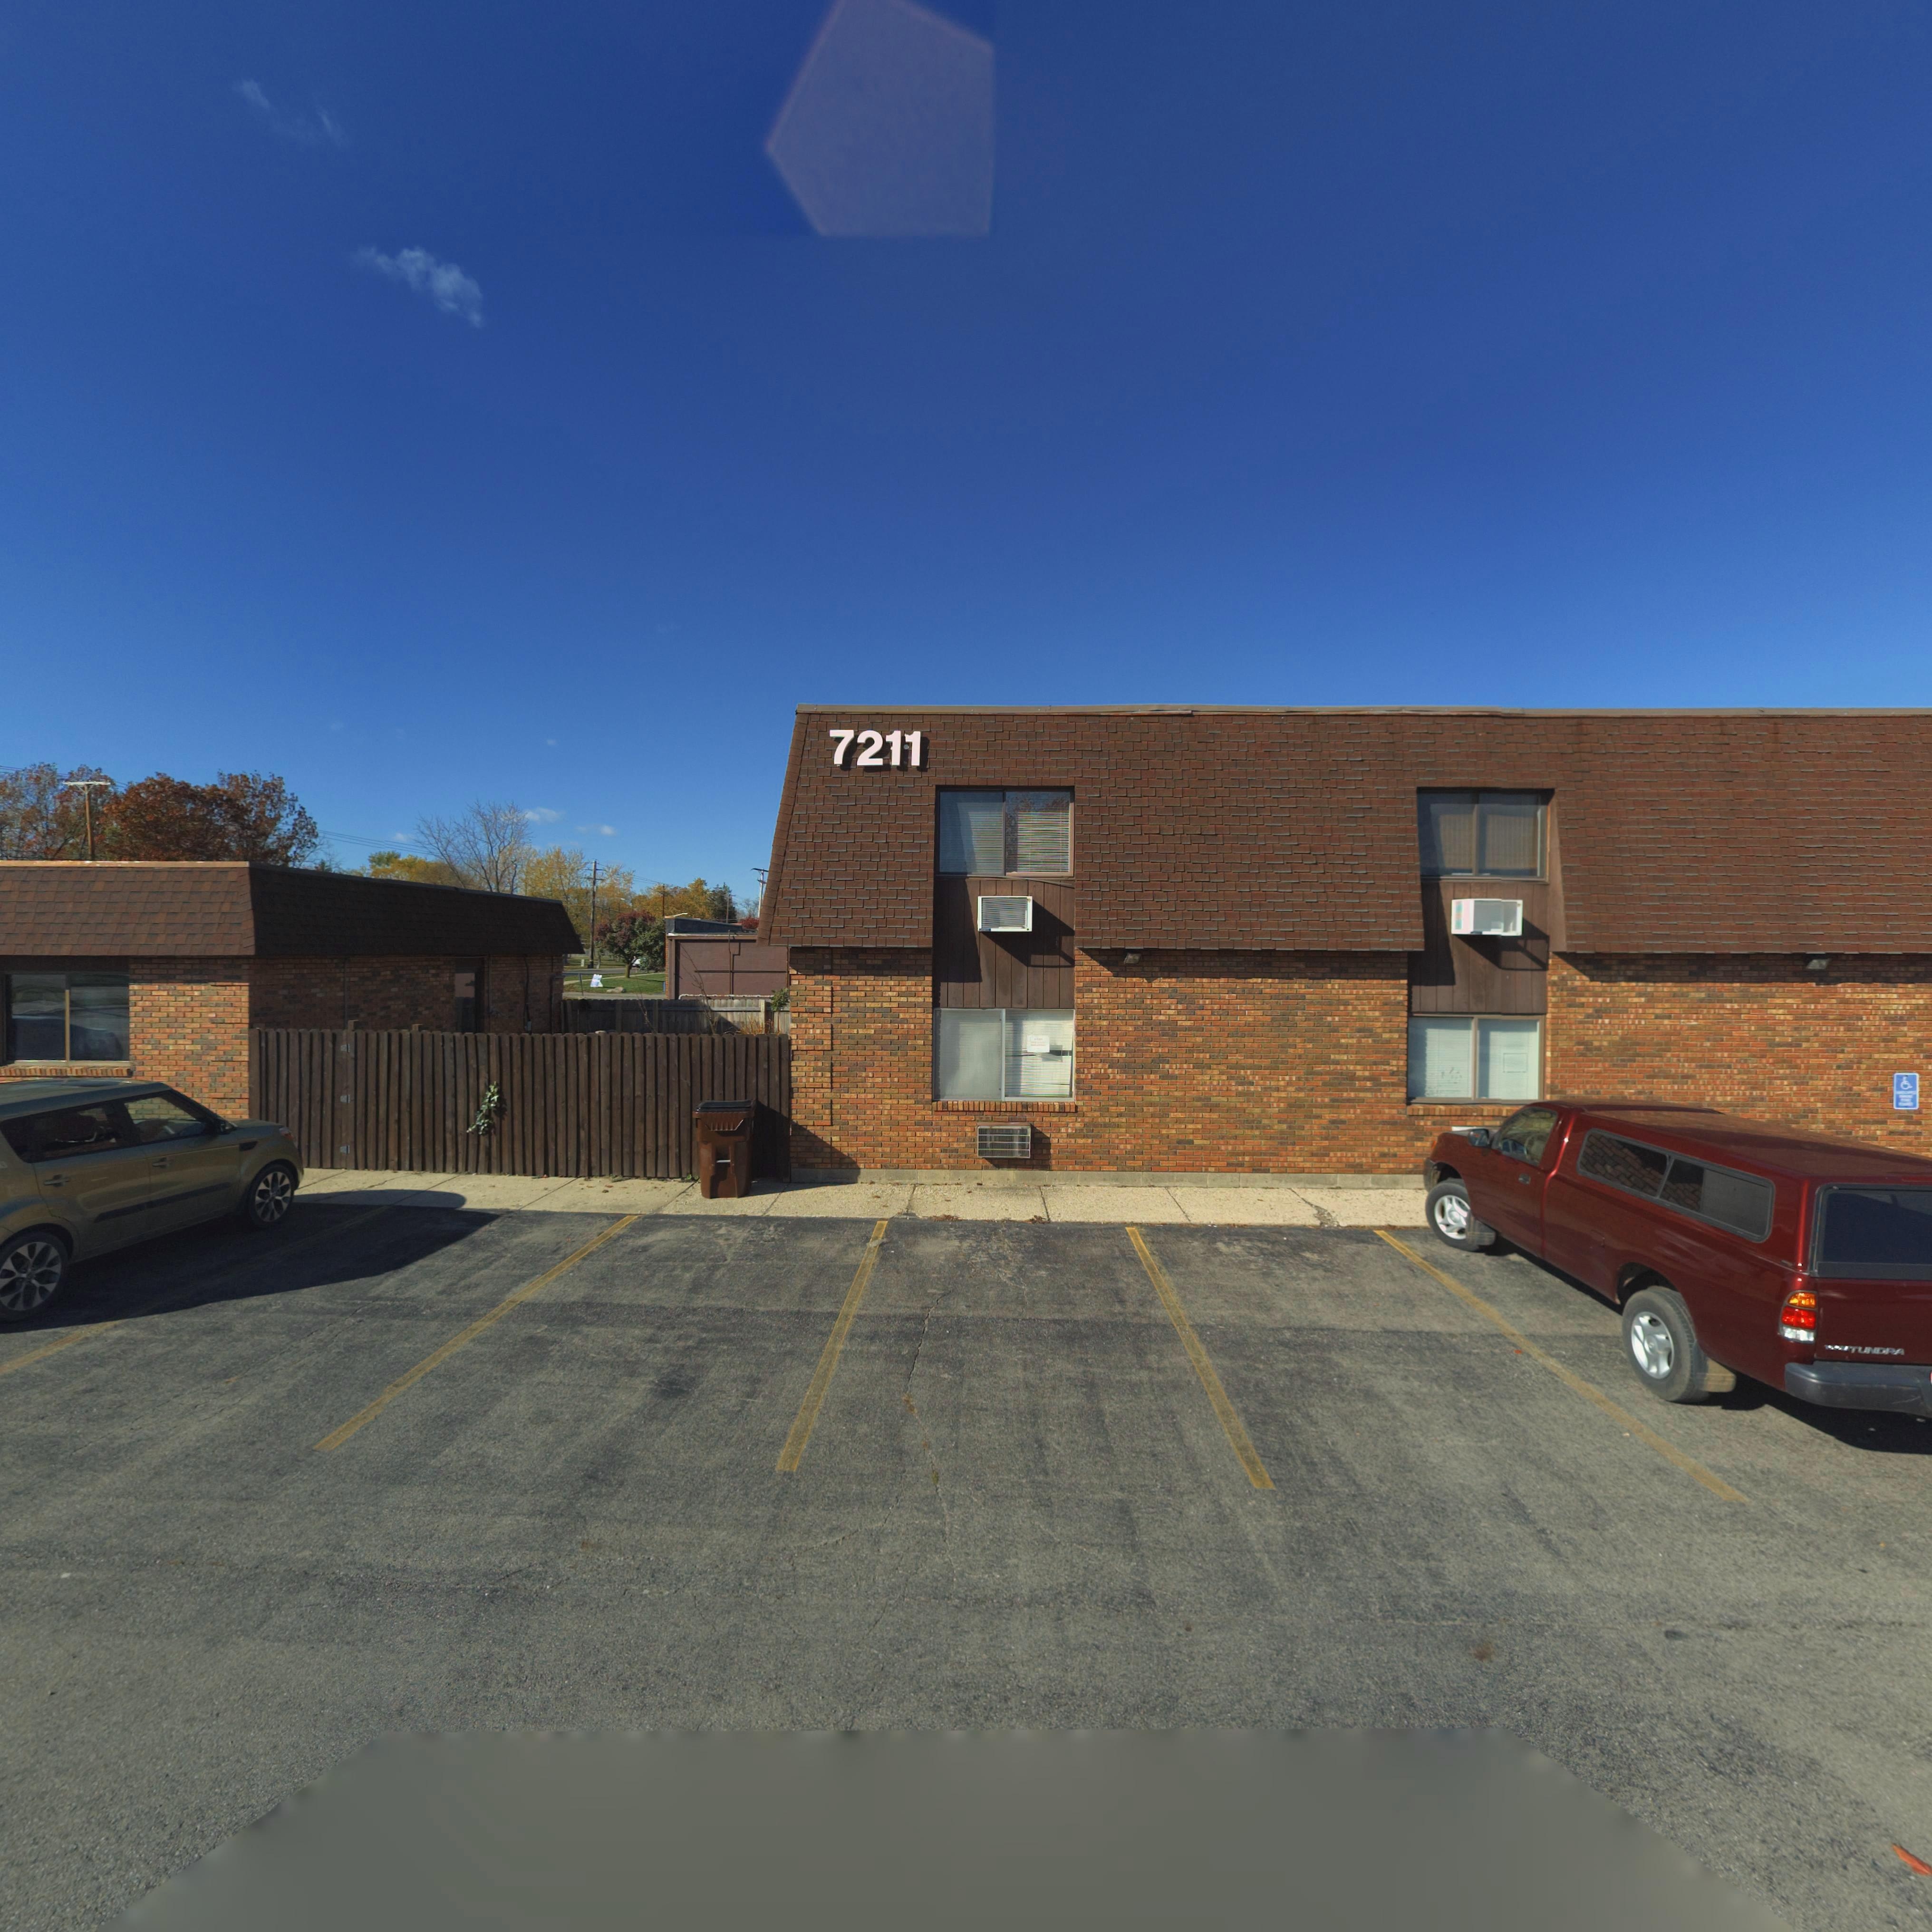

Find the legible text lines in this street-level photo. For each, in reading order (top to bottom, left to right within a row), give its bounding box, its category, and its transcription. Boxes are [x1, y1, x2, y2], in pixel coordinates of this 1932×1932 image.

[829, 729, 921, 767] StreetNumber: 7211